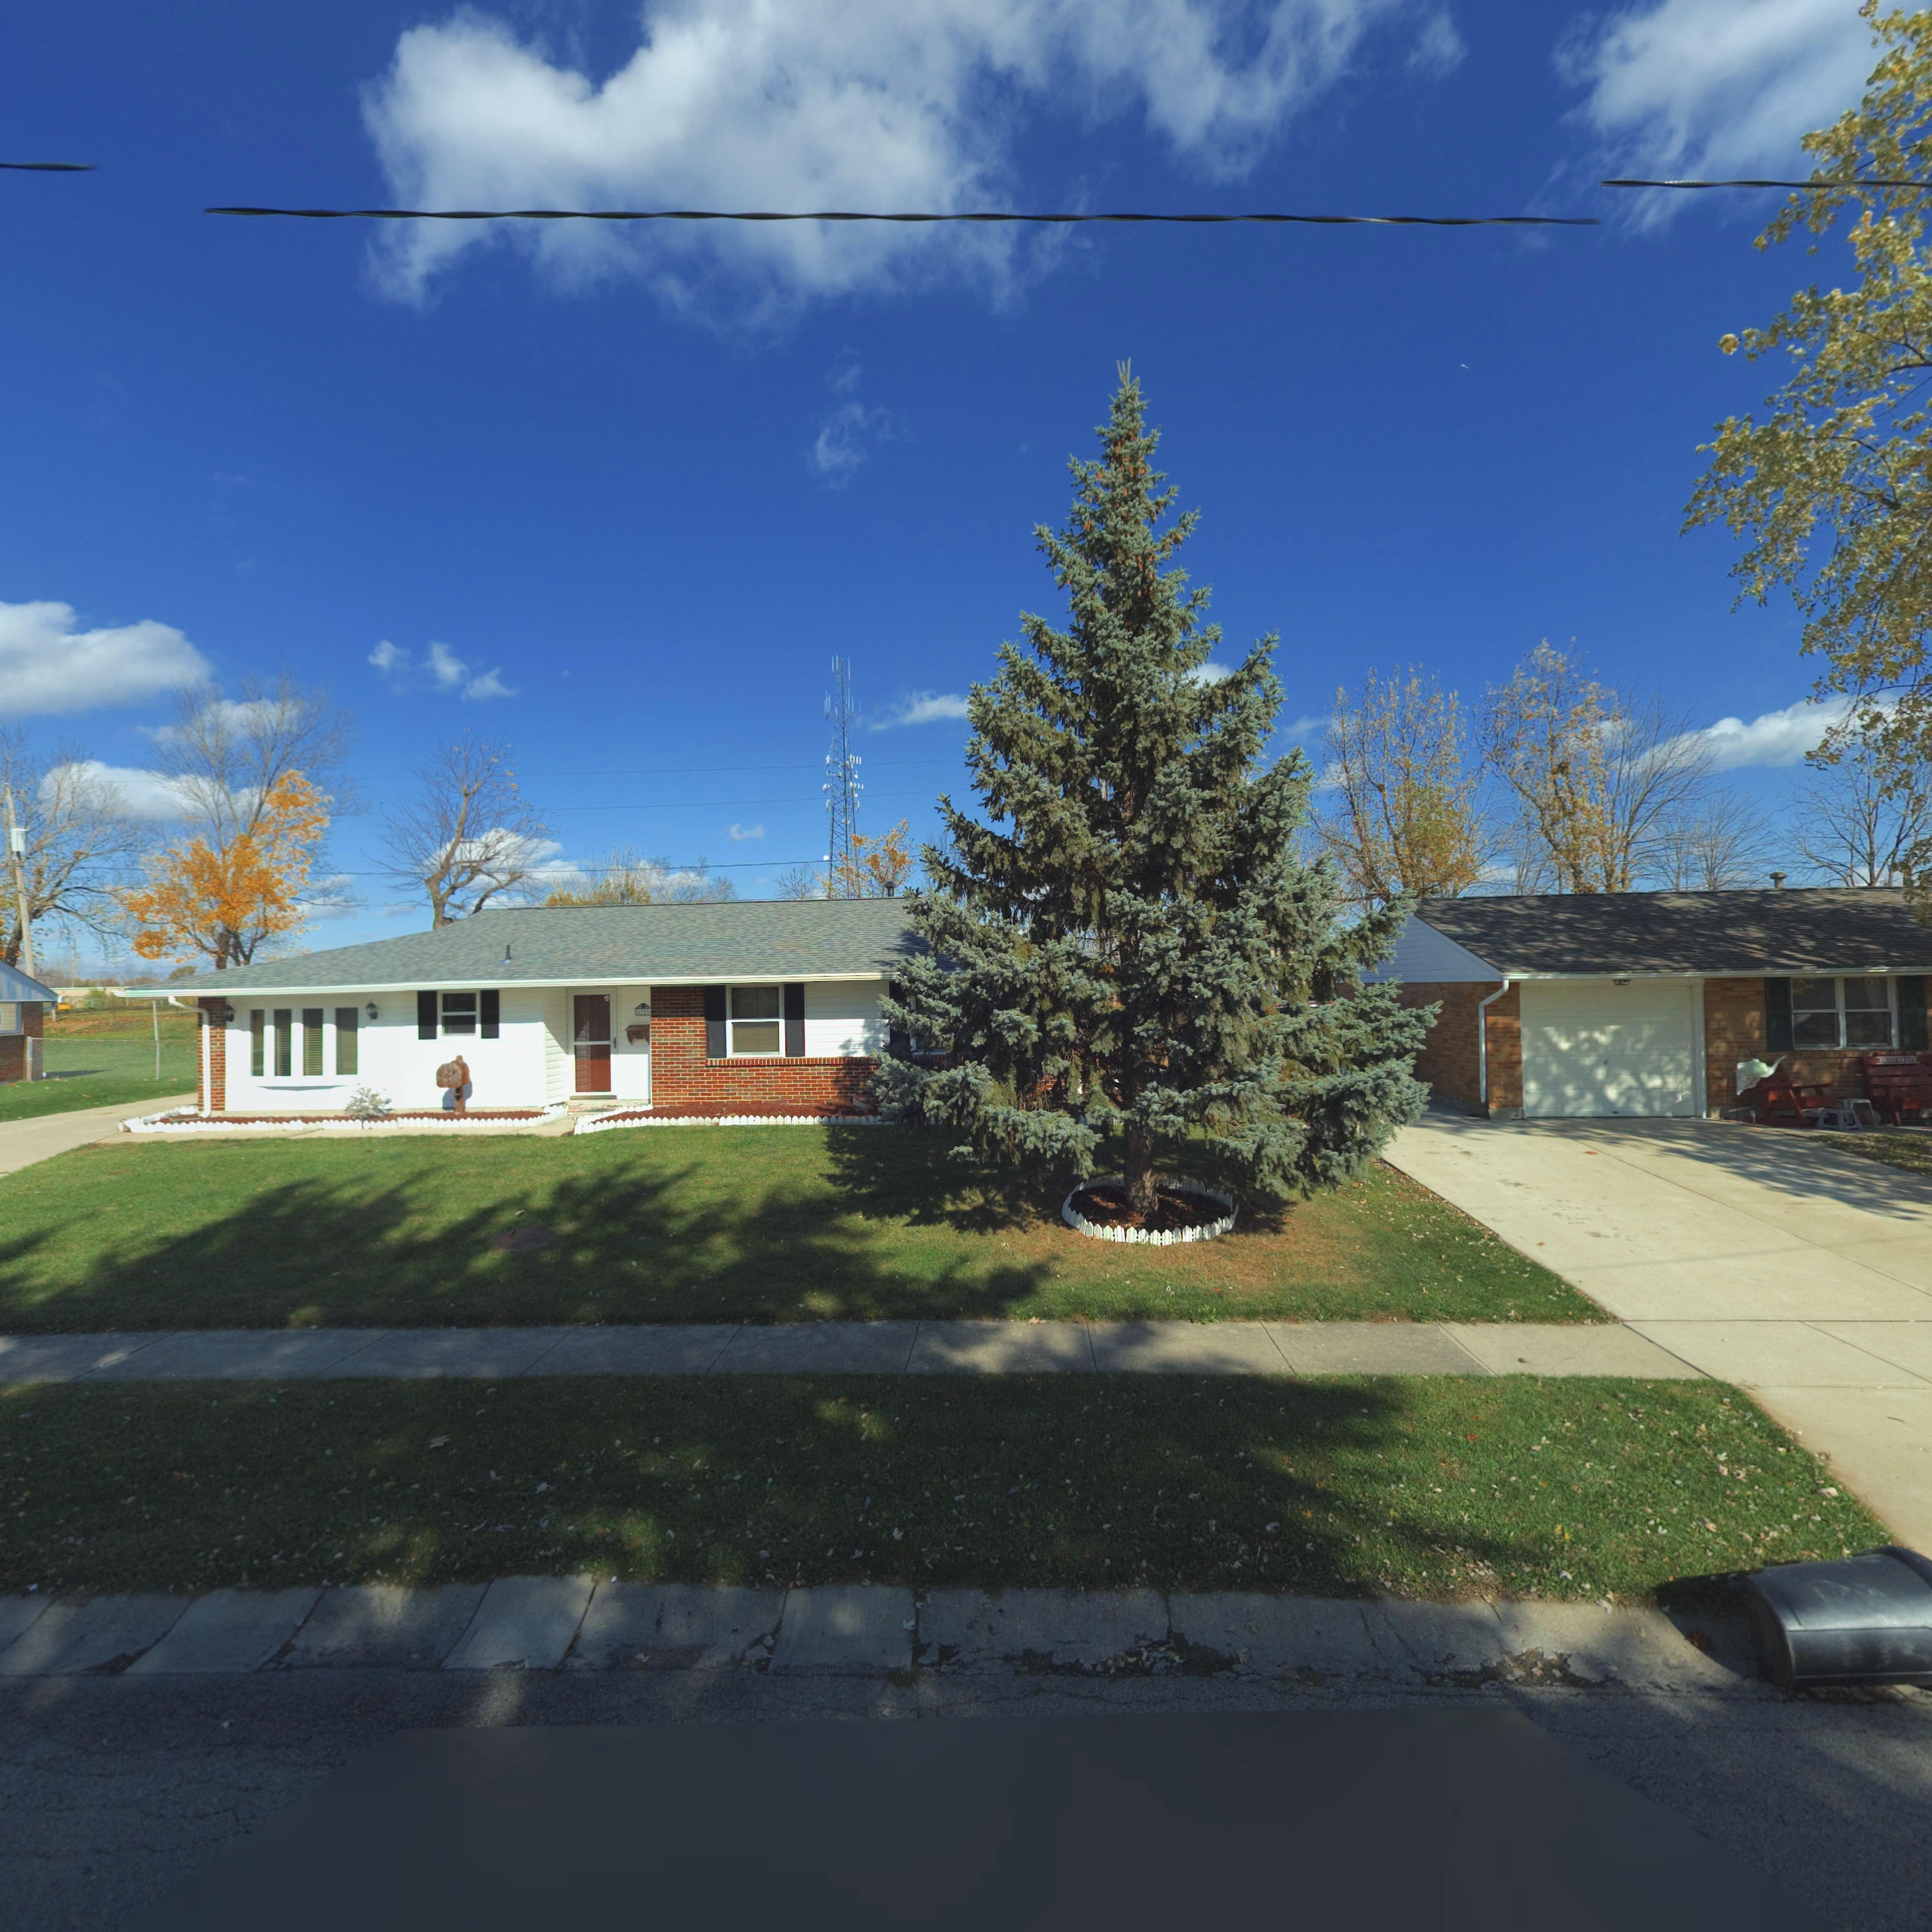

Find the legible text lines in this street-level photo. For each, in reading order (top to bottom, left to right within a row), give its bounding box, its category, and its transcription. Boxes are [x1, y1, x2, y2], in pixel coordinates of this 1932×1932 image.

[636, 1008, 650, 1015] StreetNumber: *76*